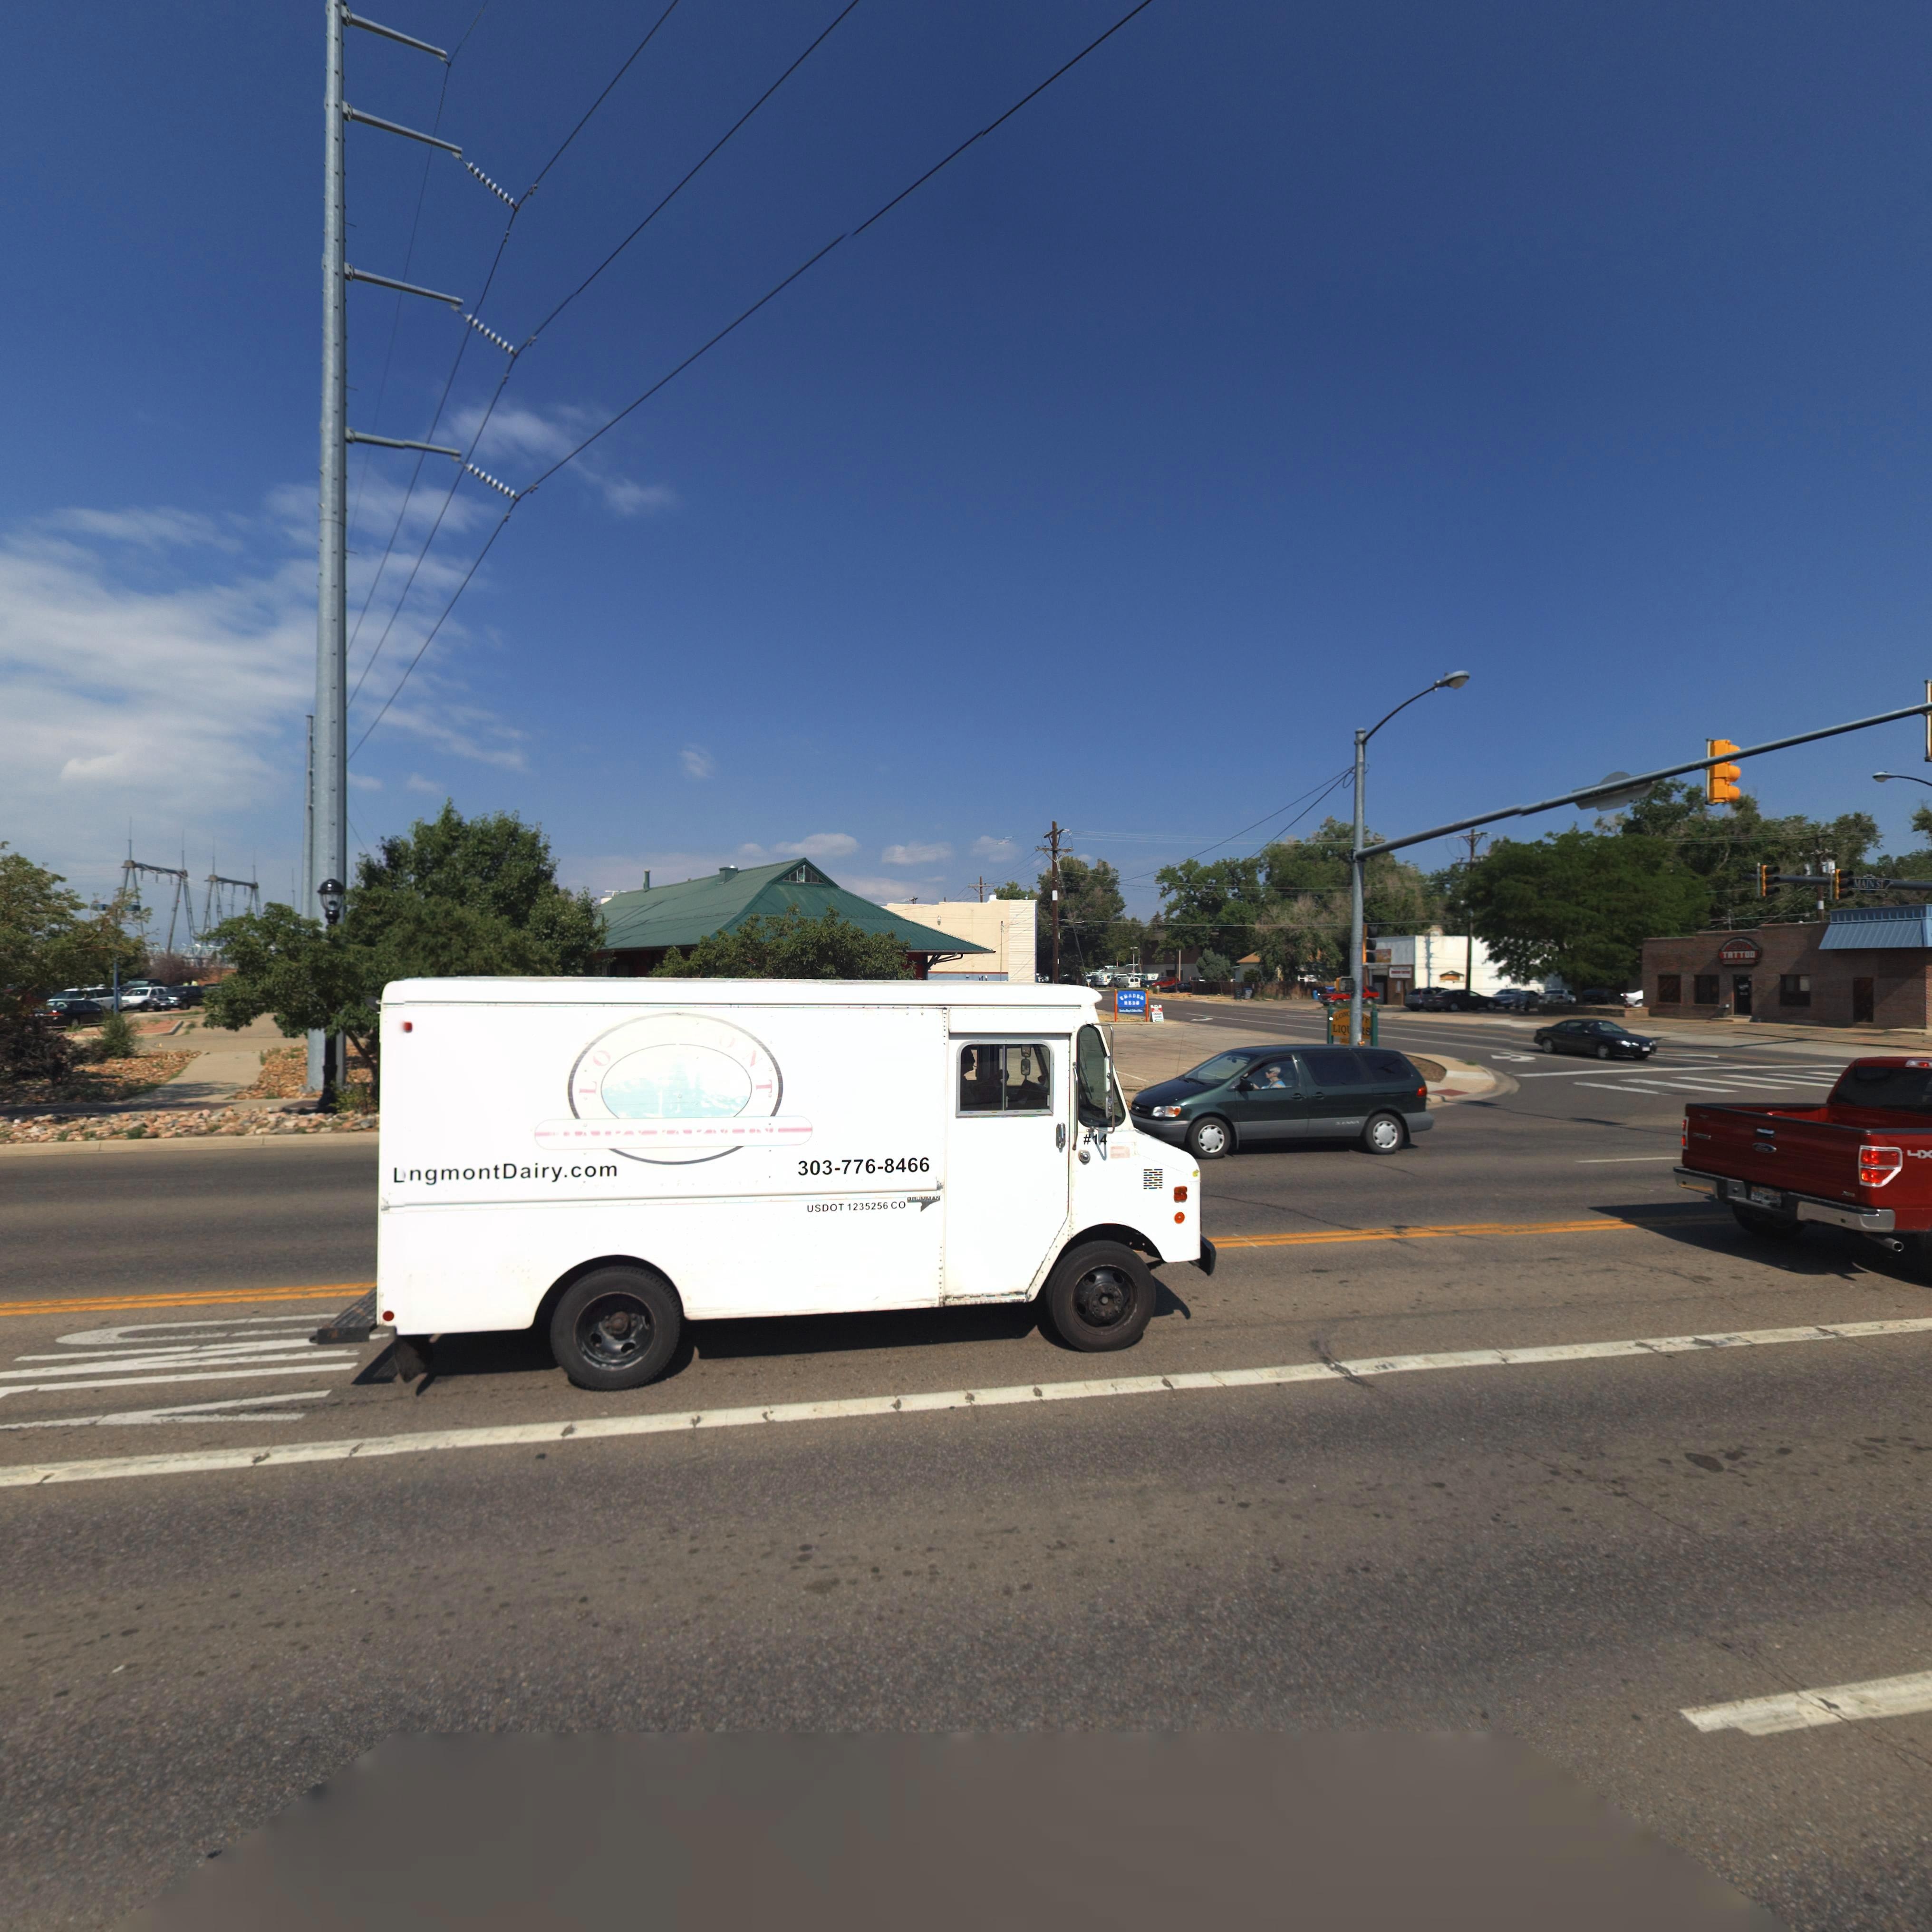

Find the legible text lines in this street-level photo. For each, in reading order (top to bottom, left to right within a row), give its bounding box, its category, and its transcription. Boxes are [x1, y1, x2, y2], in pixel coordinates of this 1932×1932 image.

[1853, 878, 1885, 889] StreetName: MAIN ST
[1729, 942, 1747, 949] BusinessName: 201
[1721, 950, 1755, 958] BusinessName: TATTOO
[1335, 1010, 1370, 1024] BusinessName: LON****T
[1332, 1024, 1372, 1036] BusinessName: LIQ***S